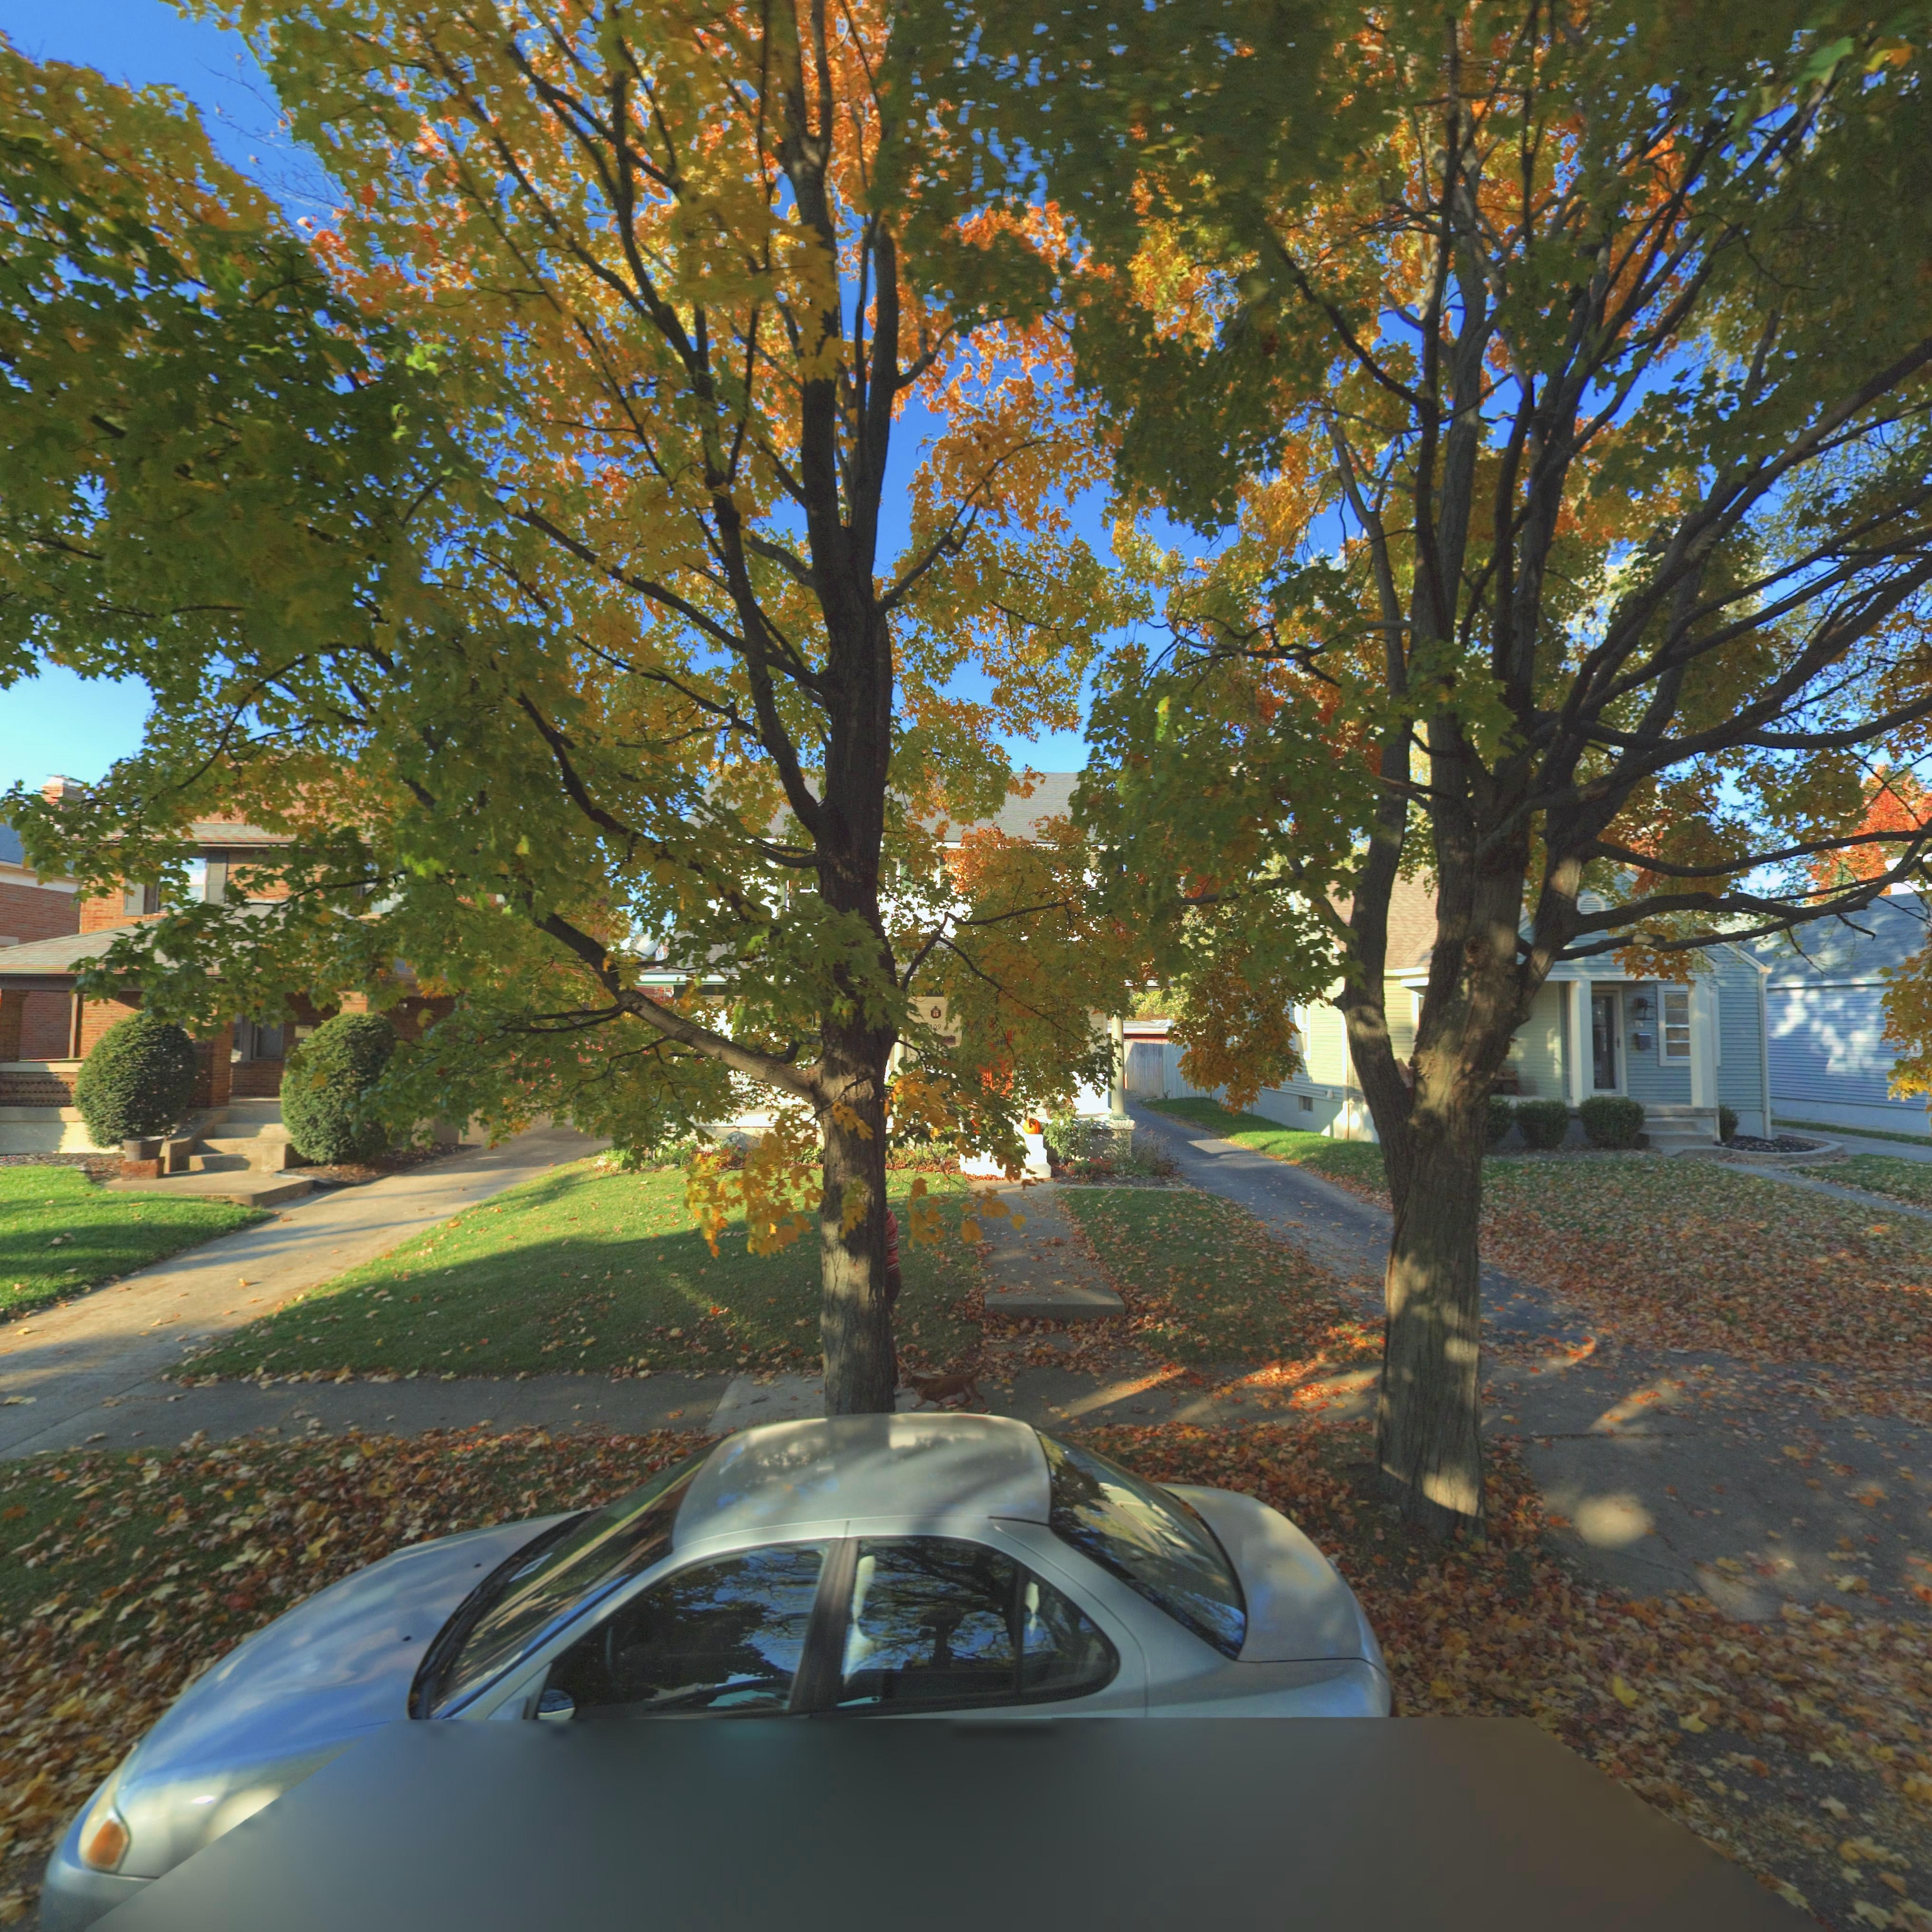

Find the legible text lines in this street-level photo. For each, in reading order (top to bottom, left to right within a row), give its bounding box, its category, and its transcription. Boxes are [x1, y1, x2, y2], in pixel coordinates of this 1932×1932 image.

[929, 1024, 941, 1030] StreetNumber: *09